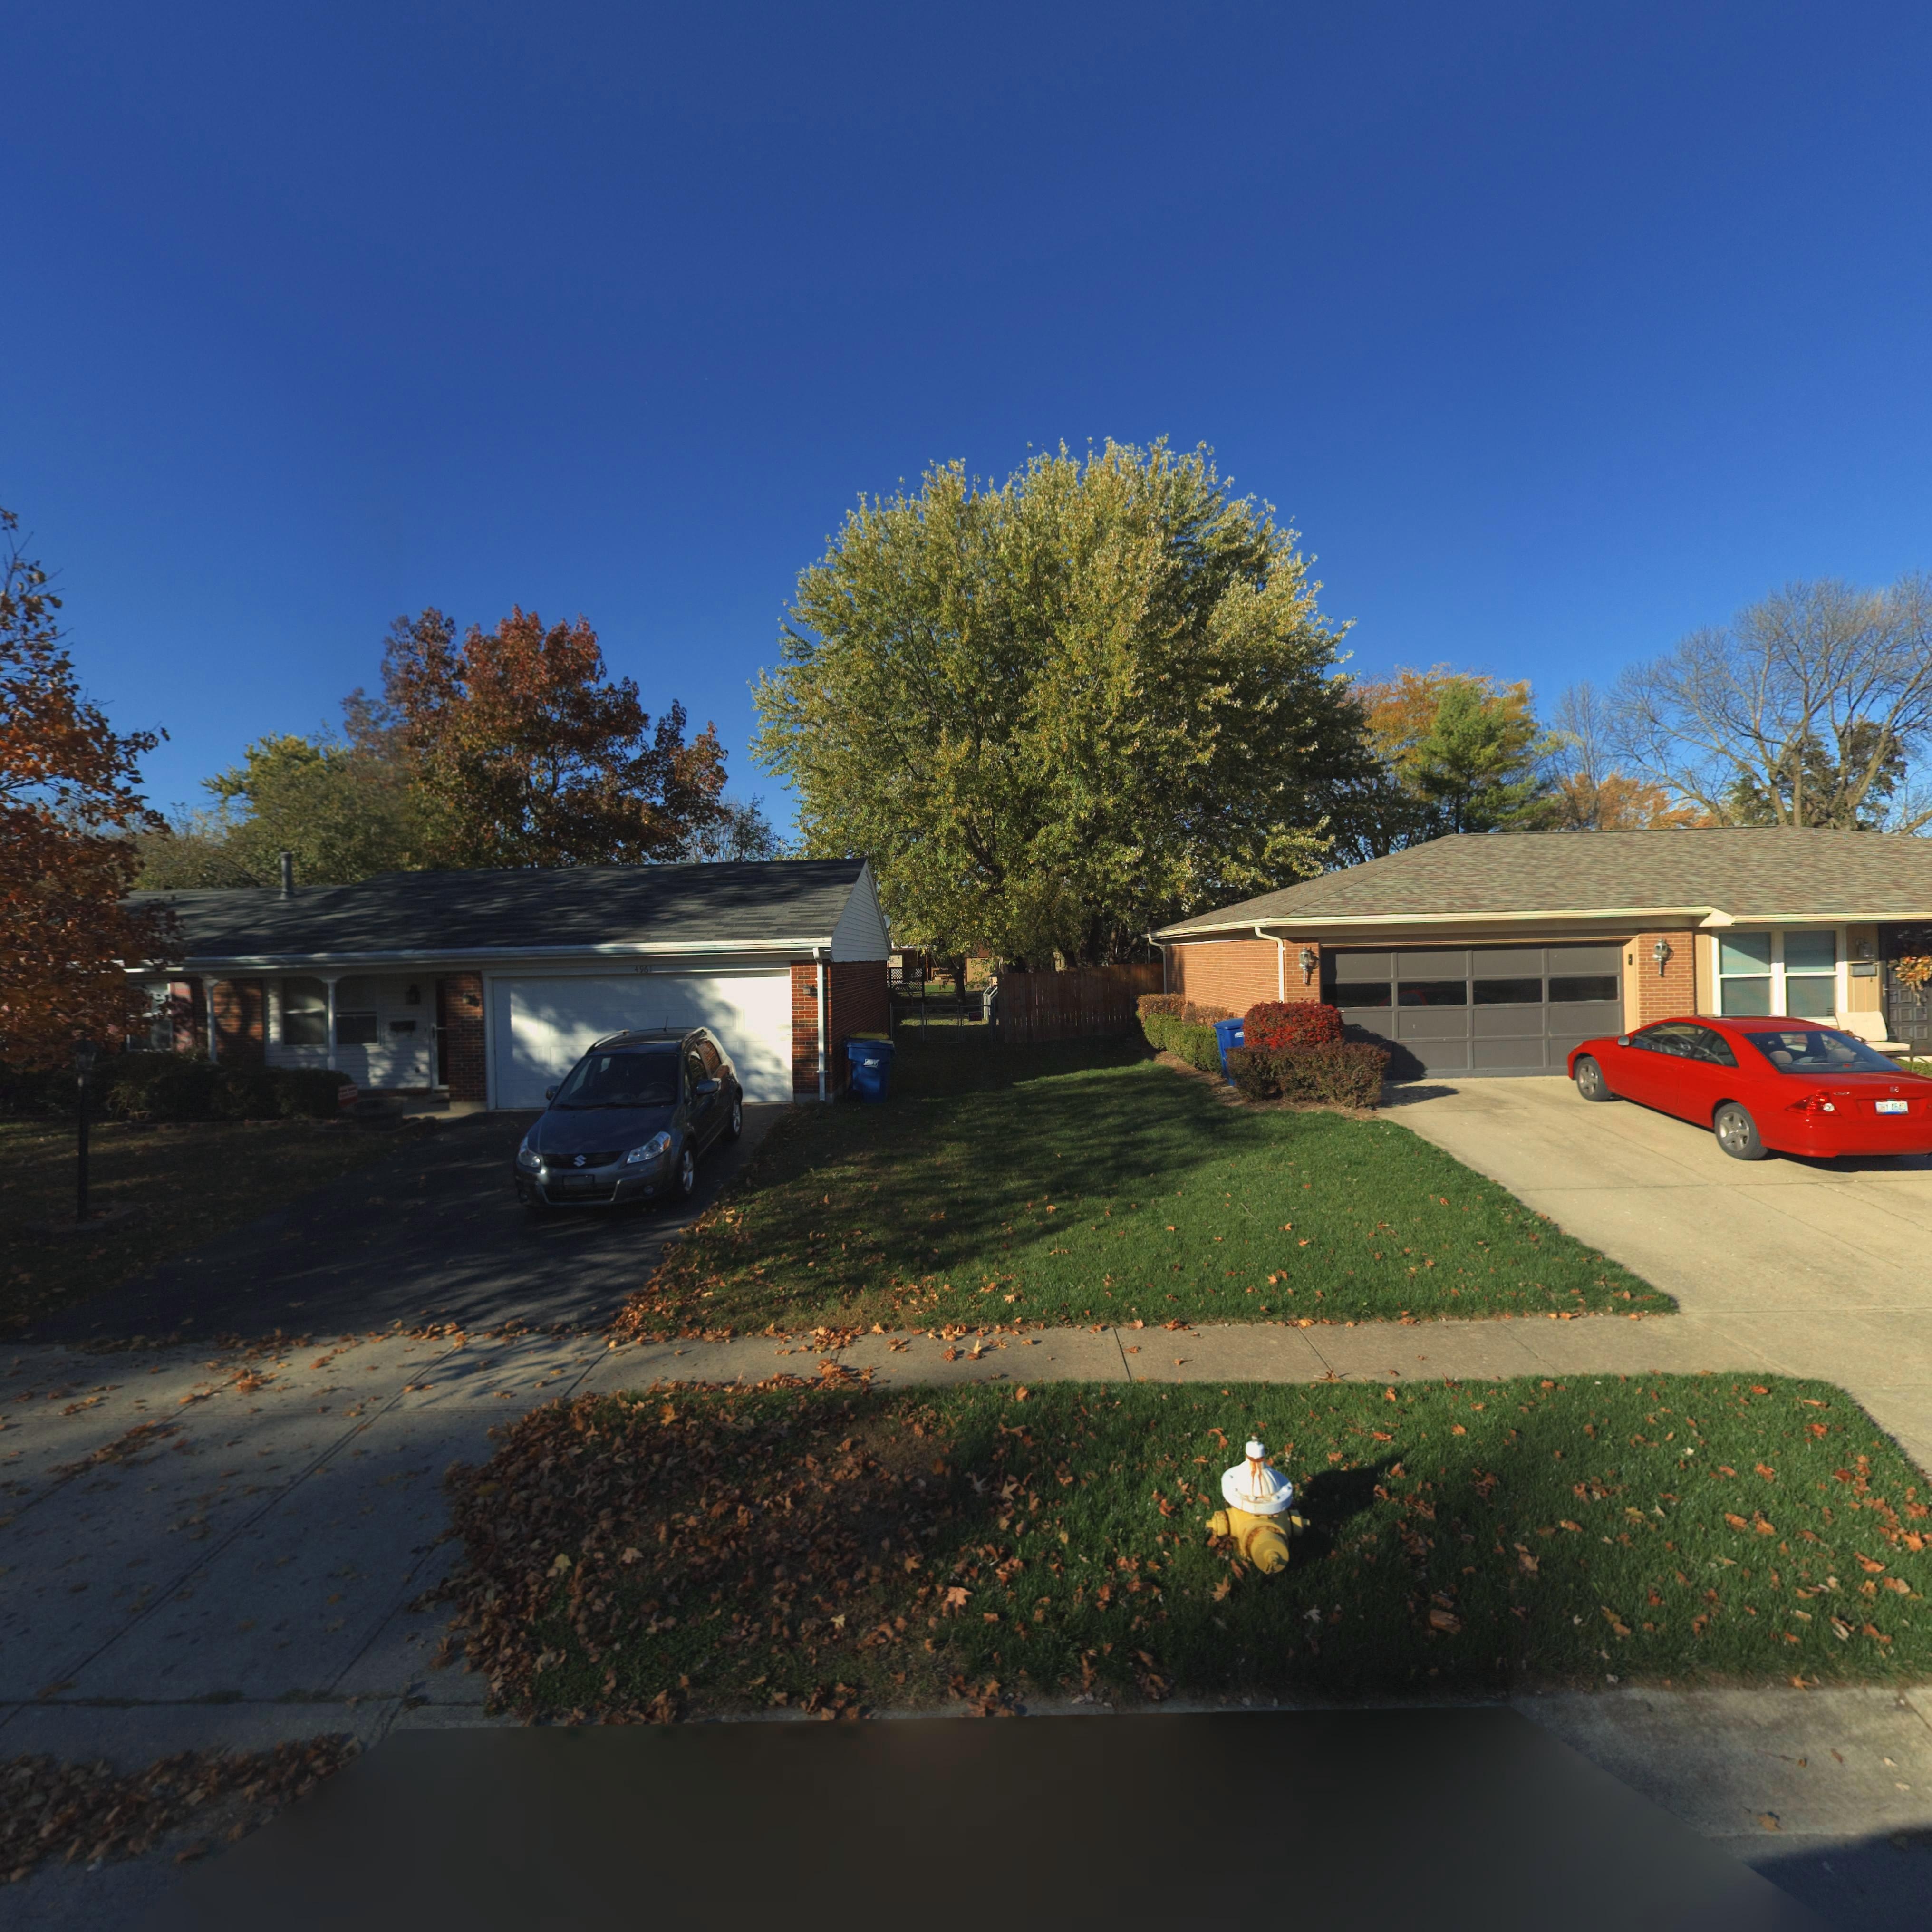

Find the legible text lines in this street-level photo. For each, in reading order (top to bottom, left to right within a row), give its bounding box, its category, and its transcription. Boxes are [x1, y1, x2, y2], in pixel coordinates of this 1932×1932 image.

[634, 964, 653, 973] StreetNumber: 4961